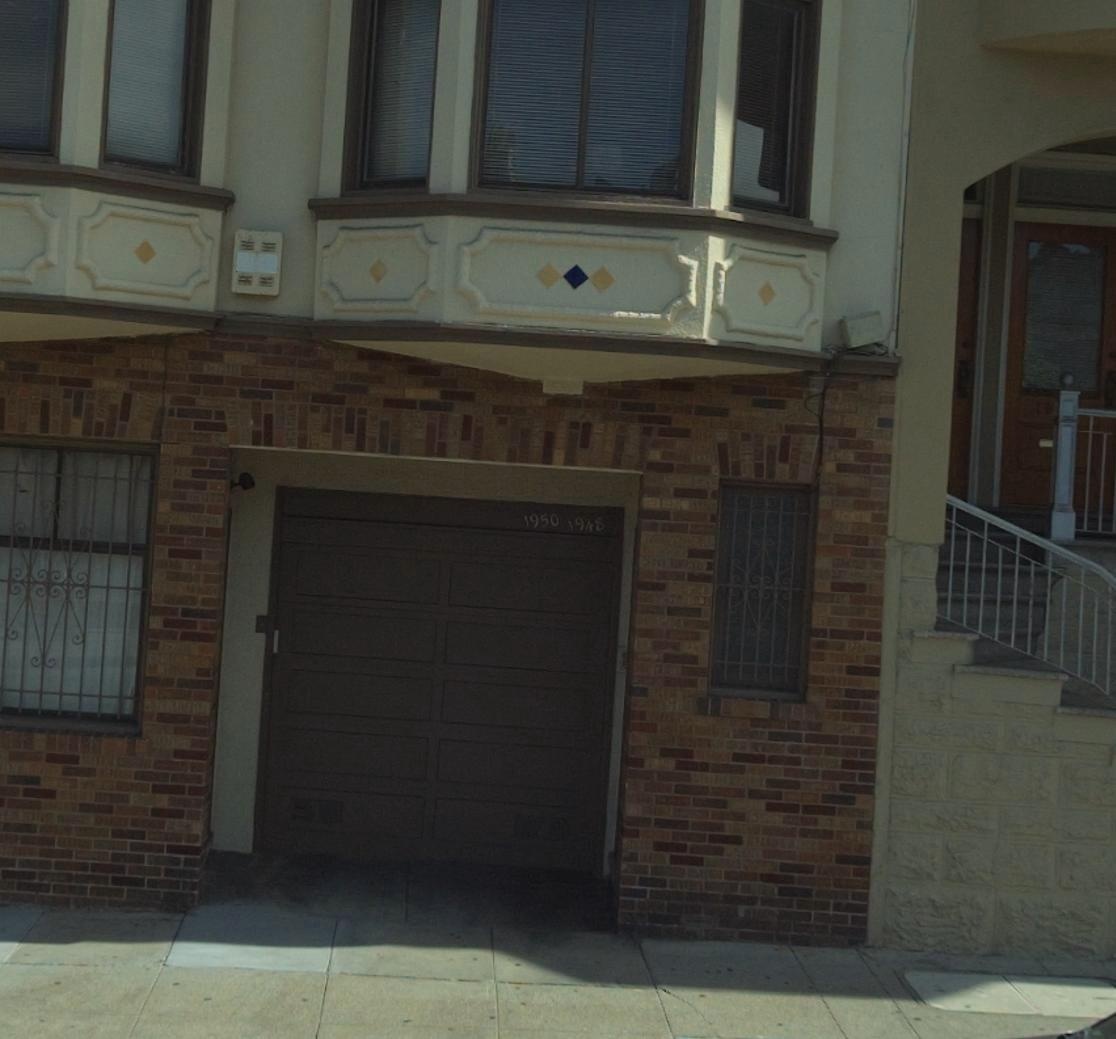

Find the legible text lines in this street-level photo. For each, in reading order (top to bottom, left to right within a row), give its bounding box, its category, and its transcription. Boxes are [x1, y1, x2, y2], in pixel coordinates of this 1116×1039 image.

[1033, 401, 1053, 416] StreetNumber: 1*
[521, 510, 562, 530] StreetNumber: 1950\
[565, 515, 606, 534] StreetNumber: 1948